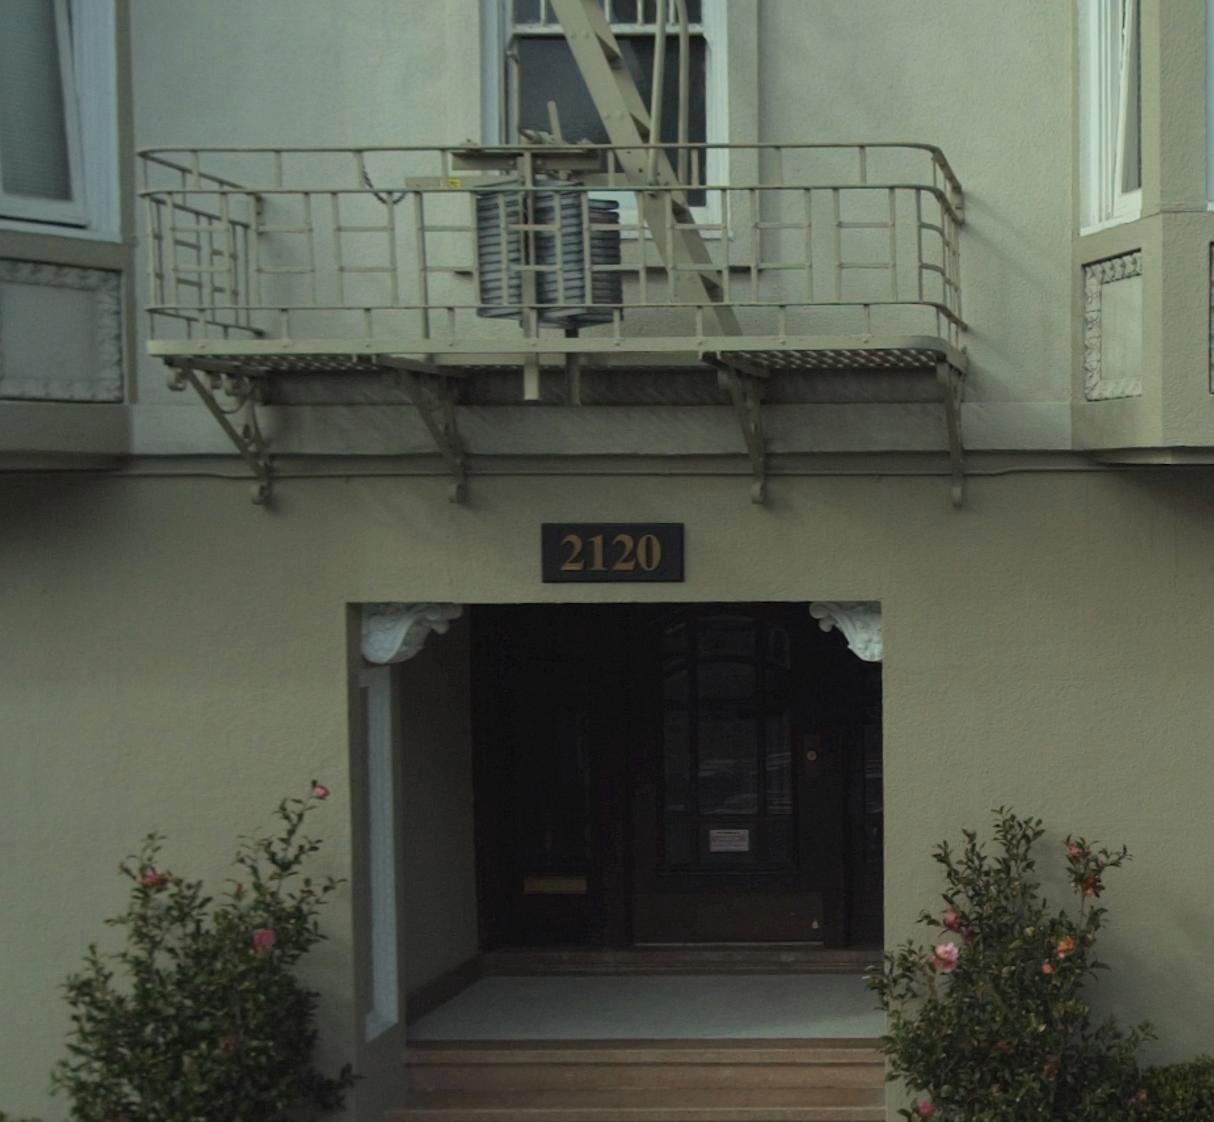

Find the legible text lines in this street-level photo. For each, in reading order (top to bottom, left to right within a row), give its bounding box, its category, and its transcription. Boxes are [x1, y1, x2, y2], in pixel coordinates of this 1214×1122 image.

[557, 531, 664, 573] StreetNumber: 2120